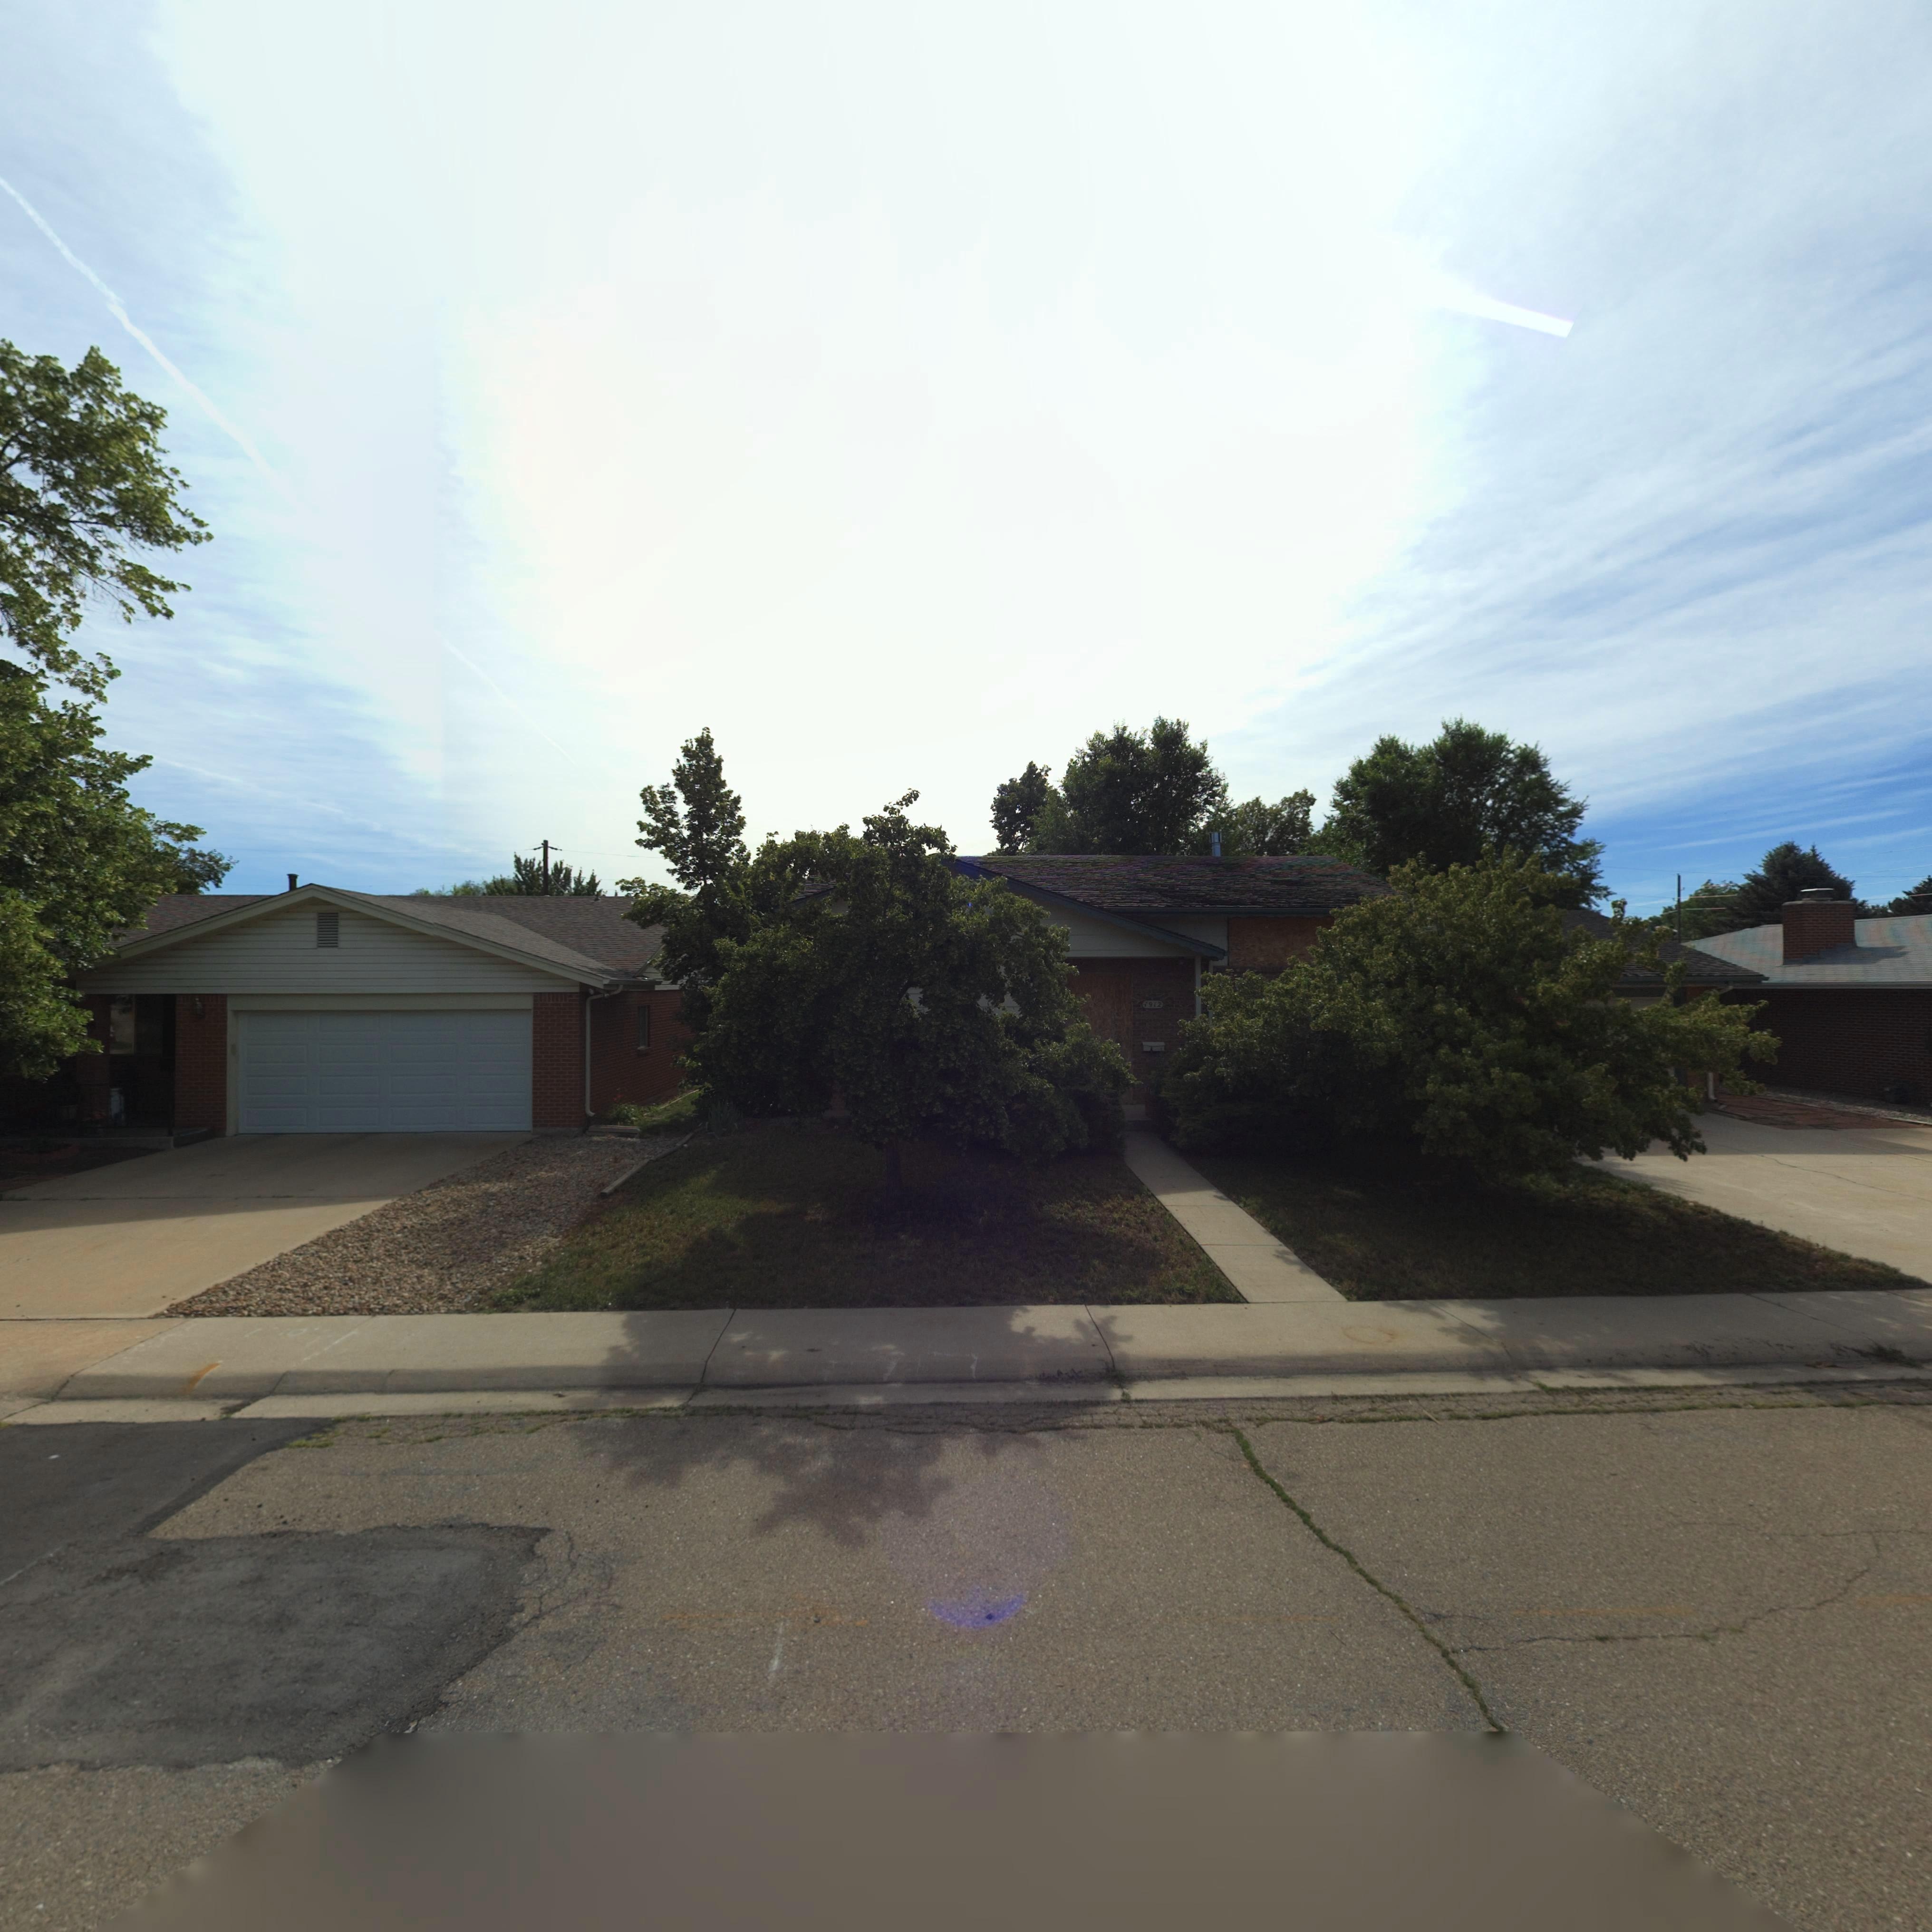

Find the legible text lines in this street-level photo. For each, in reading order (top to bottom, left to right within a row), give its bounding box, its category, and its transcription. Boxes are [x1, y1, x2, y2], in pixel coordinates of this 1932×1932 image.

[1143, 1001, 1161, 1007] StreetNumber: 1912